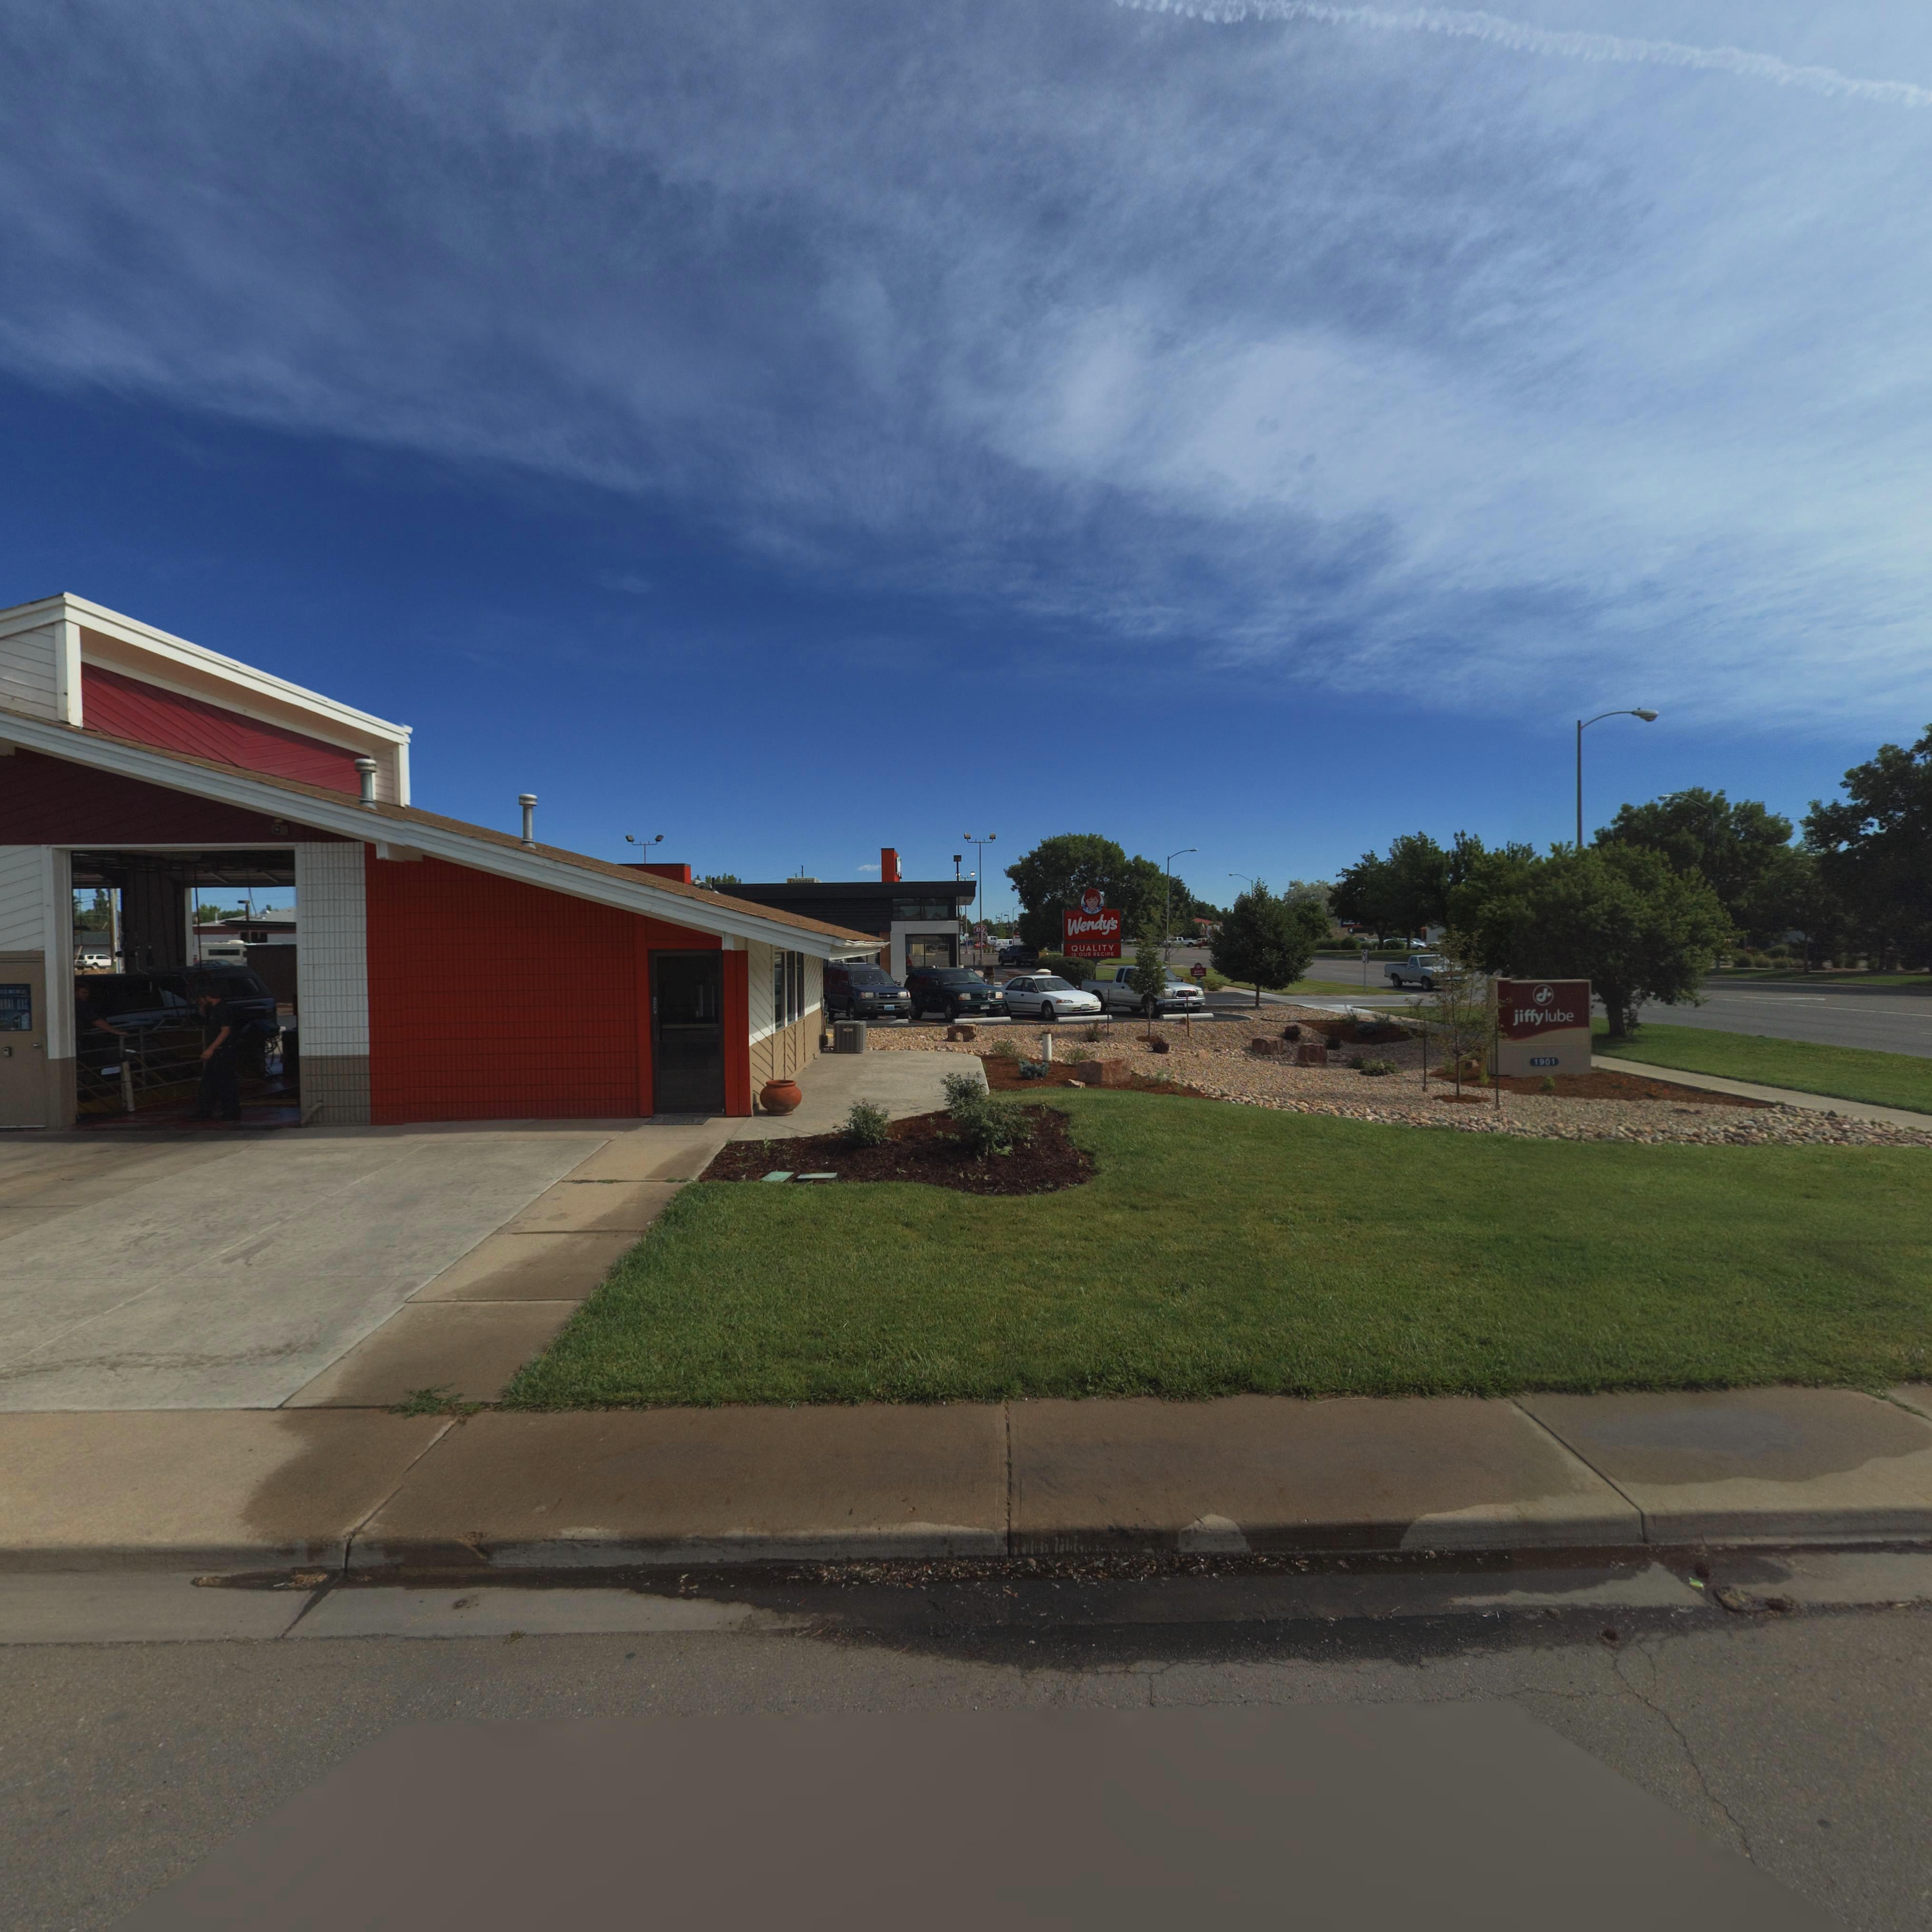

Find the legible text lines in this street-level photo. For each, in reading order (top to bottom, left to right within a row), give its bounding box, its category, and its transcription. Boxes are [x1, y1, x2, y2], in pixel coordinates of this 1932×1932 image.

[976, 927, 985, 932] BusinessName: D*
[1067, 913, 1119, 937] BusinessName: Wendy's
[1511, 1007, 1575, 1027] BusinessName: jiffylube
[1533, 1058, 1556, 1065] StreetNumber: 1901